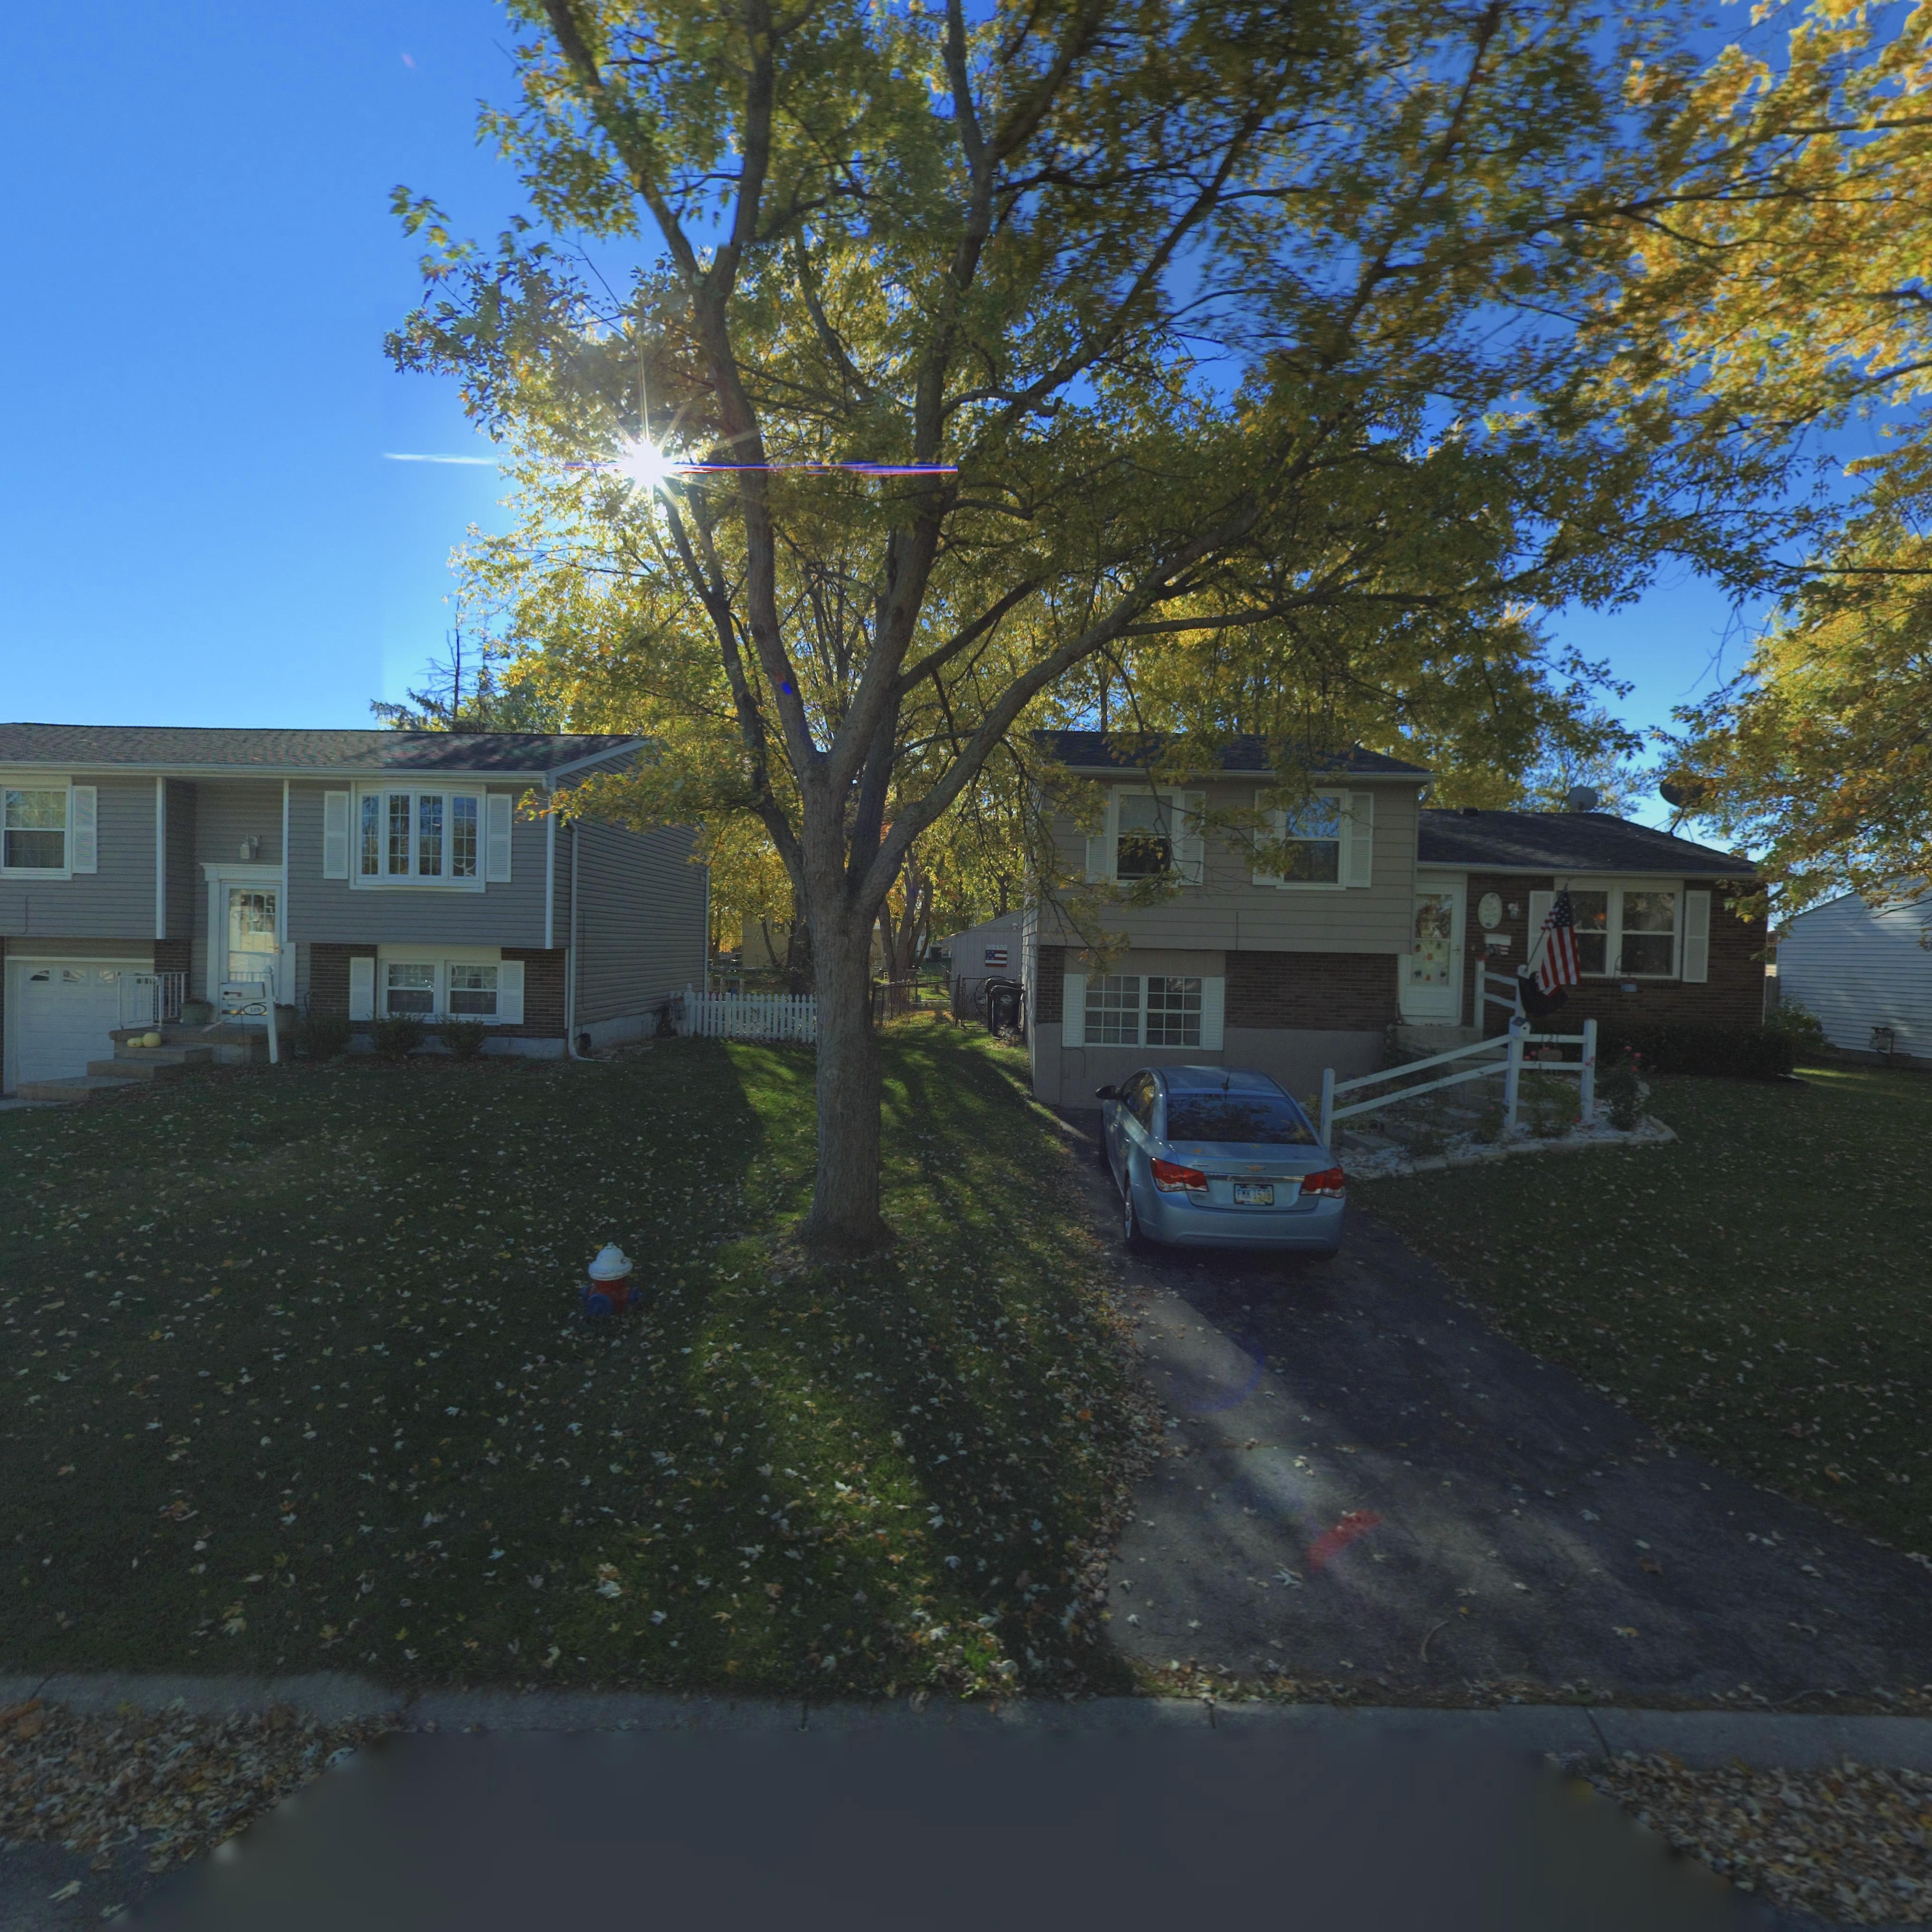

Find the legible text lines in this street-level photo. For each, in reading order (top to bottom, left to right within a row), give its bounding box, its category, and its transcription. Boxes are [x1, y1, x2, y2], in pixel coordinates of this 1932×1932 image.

[250, 1007, 261, 1013] StreetNumber: 119
[1540, 1034, 1559, 1043] StreetNumber: 121